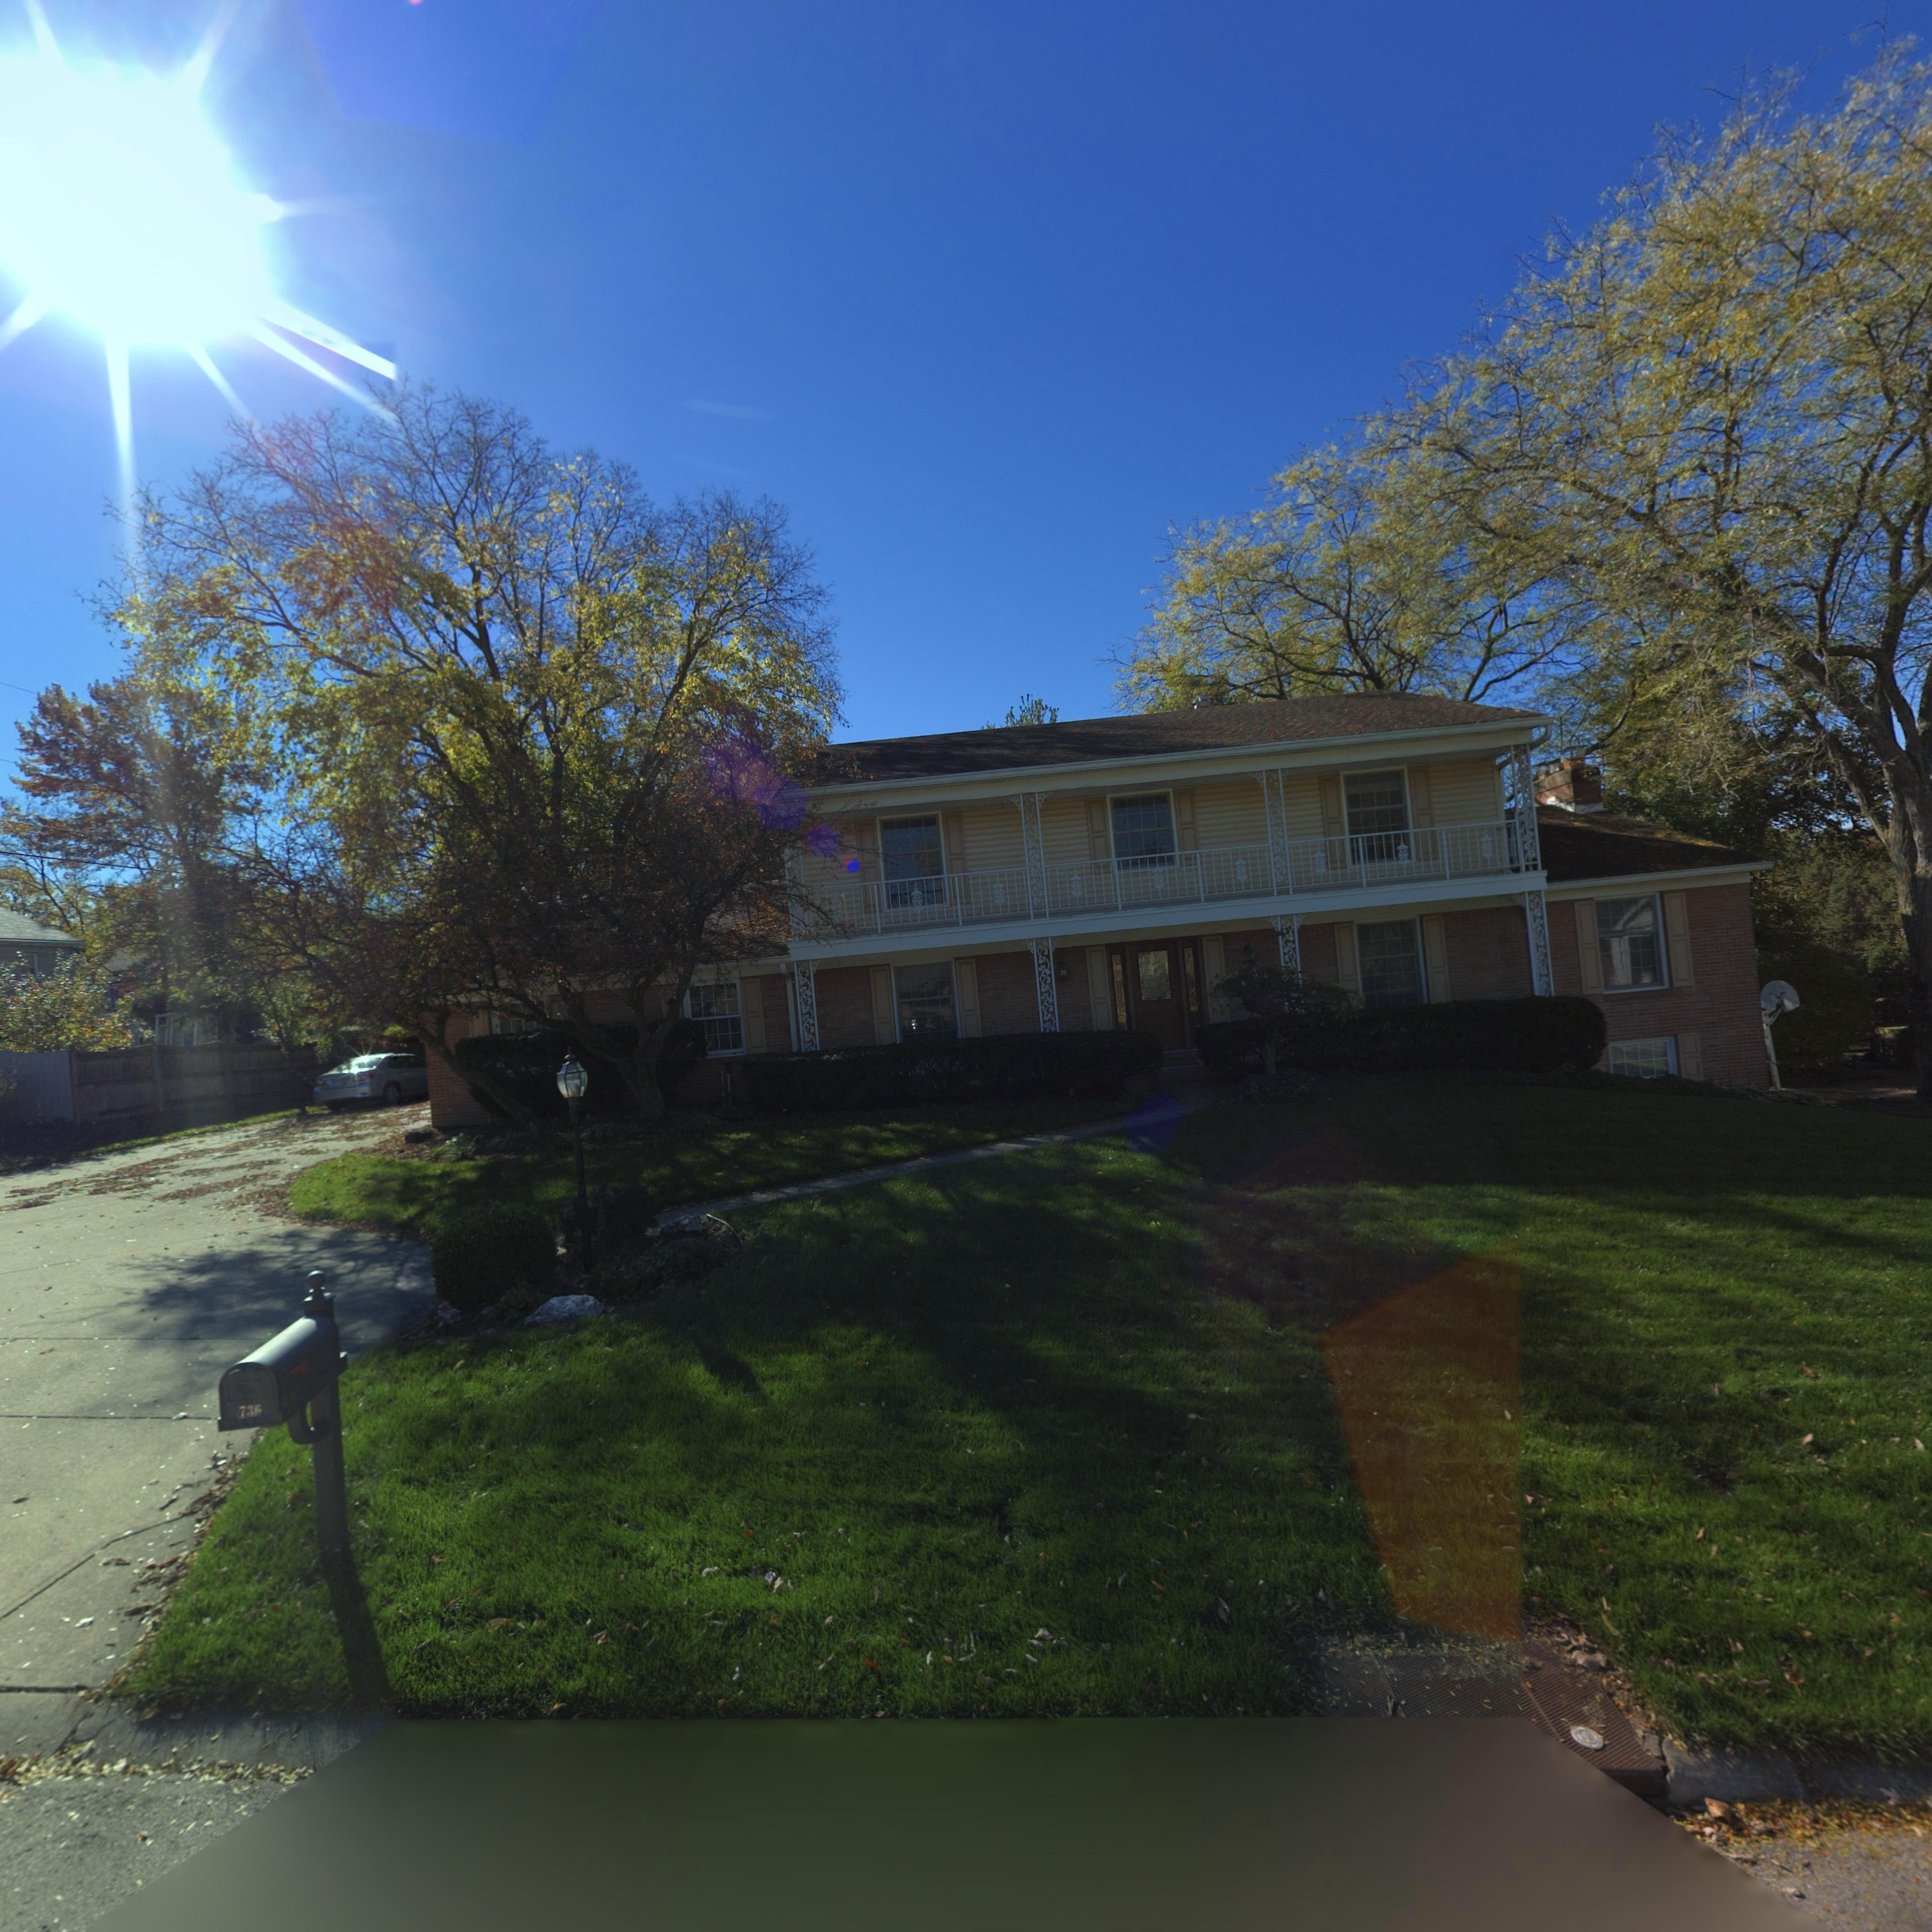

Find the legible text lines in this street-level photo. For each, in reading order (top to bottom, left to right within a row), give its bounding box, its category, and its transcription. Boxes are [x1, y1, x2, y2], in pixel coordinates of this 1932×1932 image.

[237, 1403, 262, 1420] StreetNumber: 736